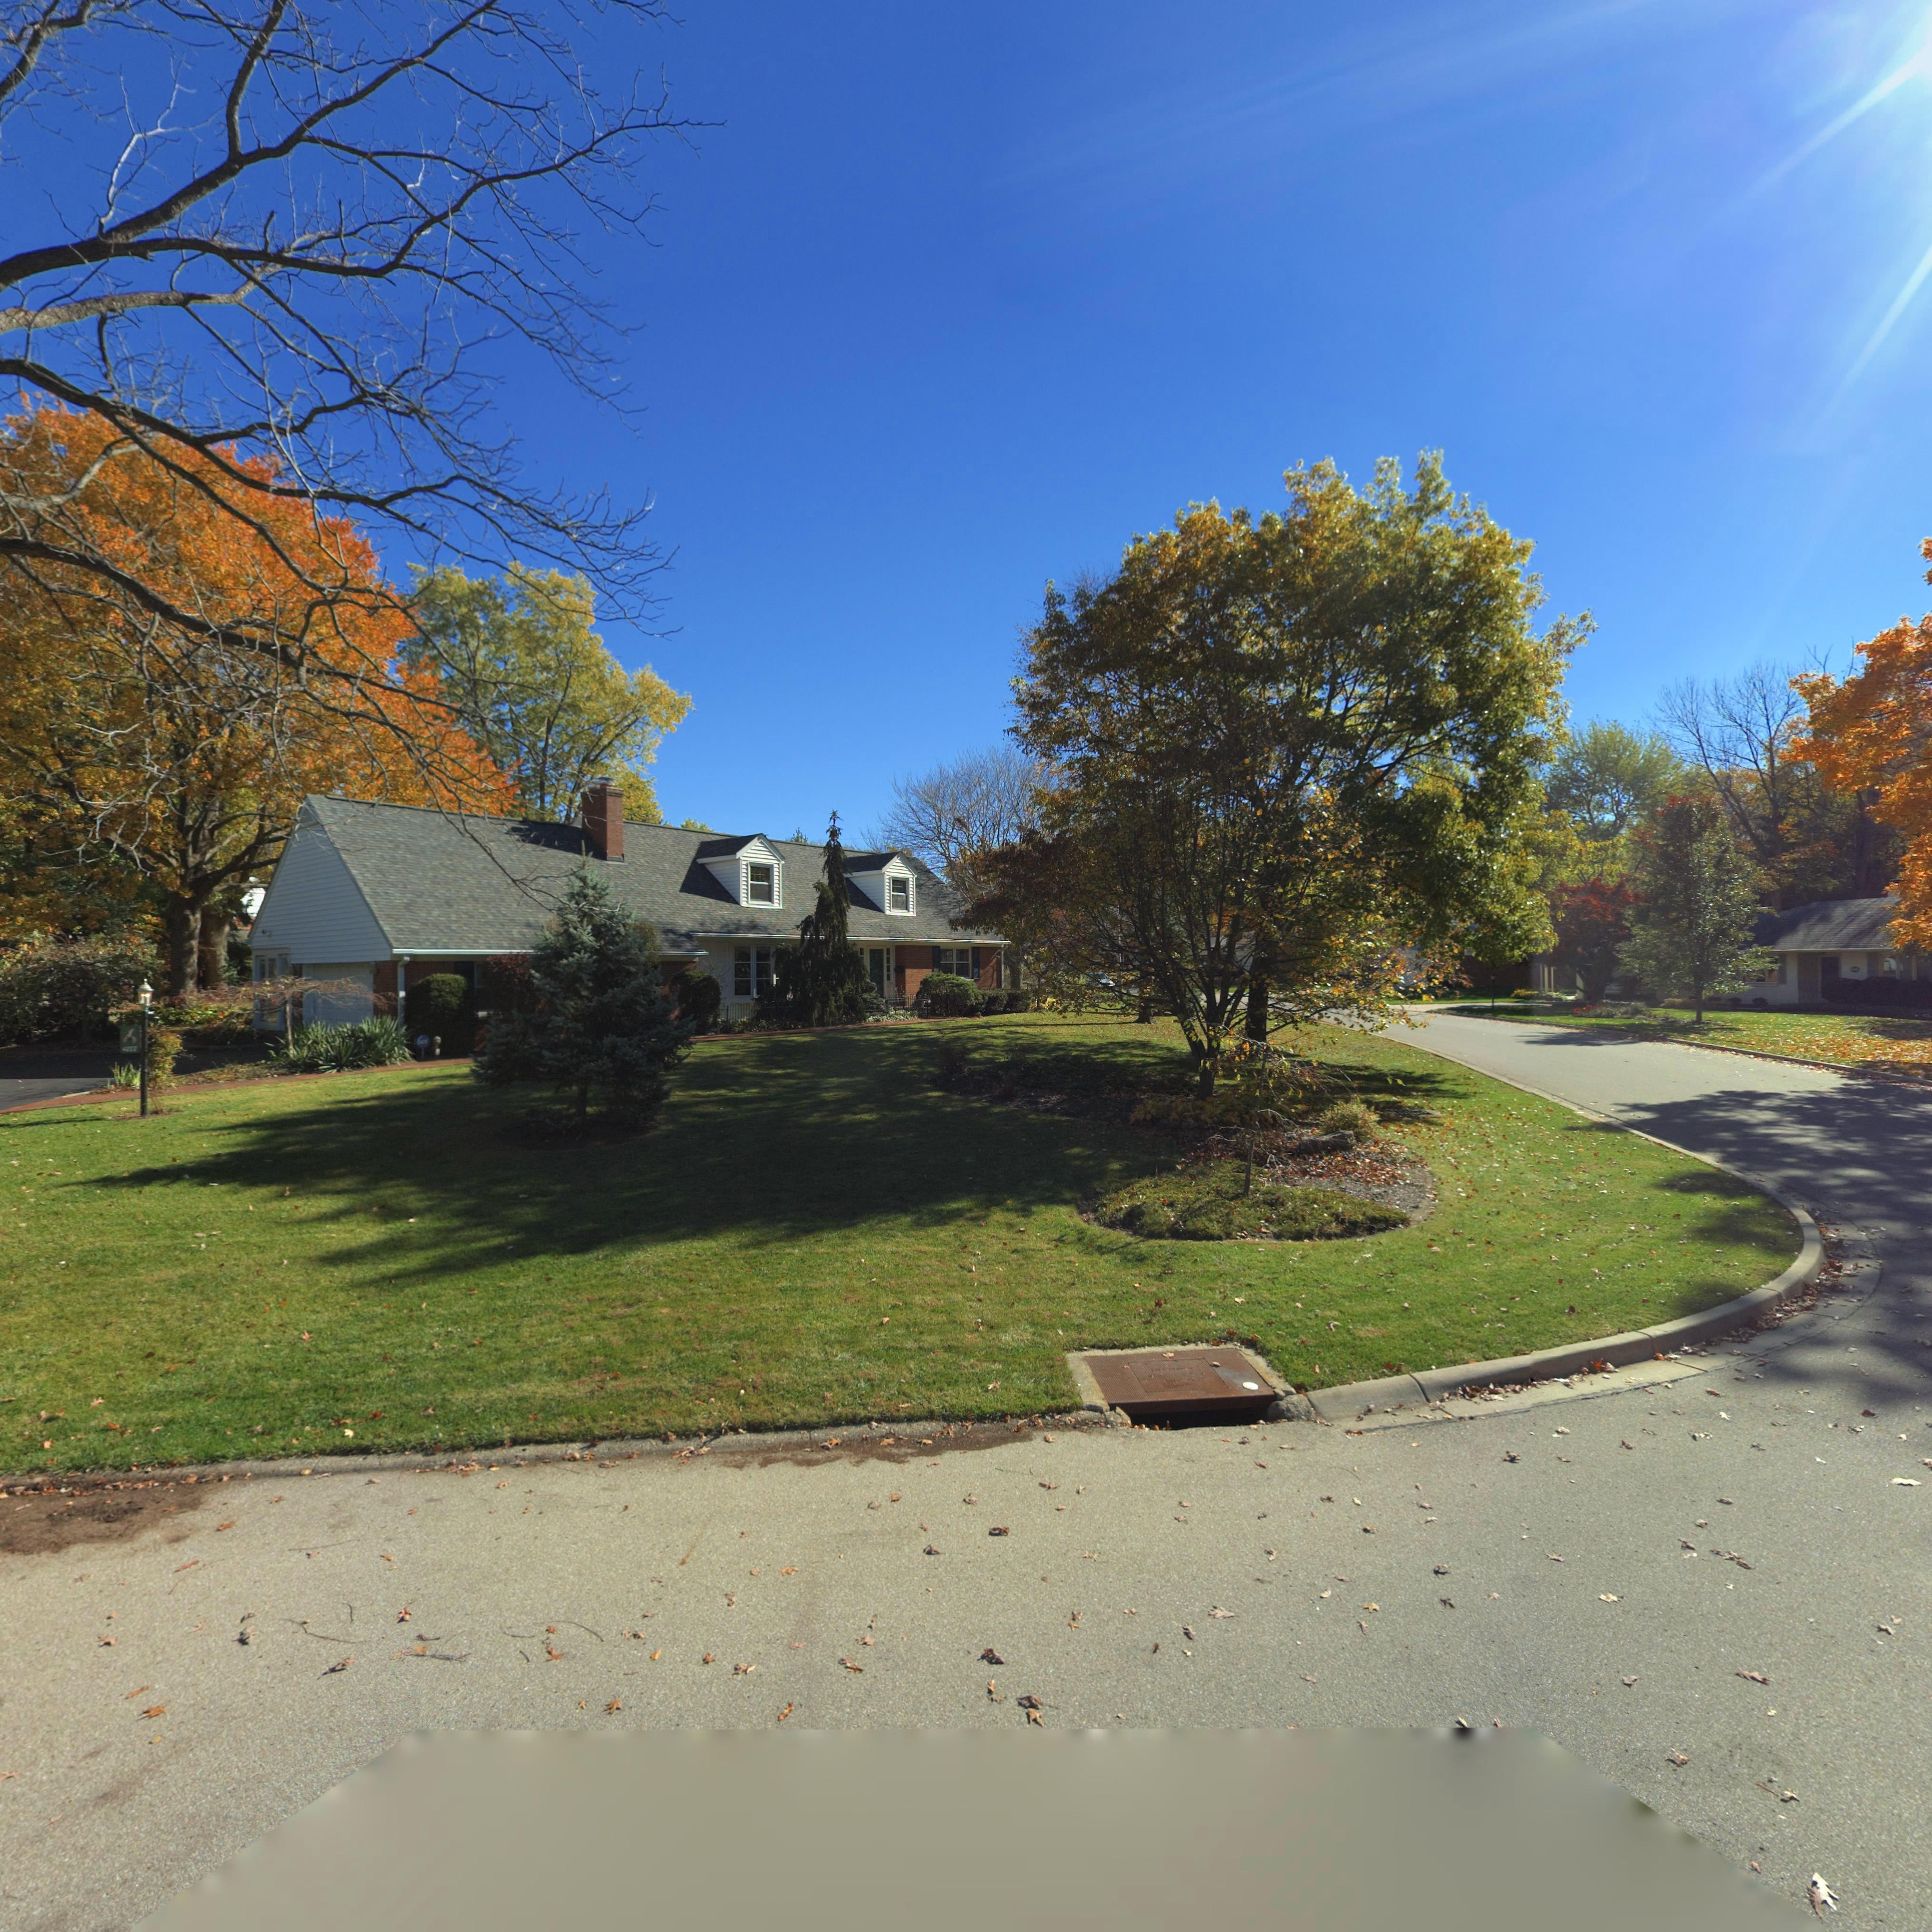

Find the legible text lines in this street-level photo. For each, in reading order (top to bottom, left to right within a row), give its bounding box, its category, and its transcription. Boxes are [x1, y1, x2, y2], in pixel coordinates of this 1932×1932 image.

[120, 1046, 138, 1053] StreetNumber: 4255